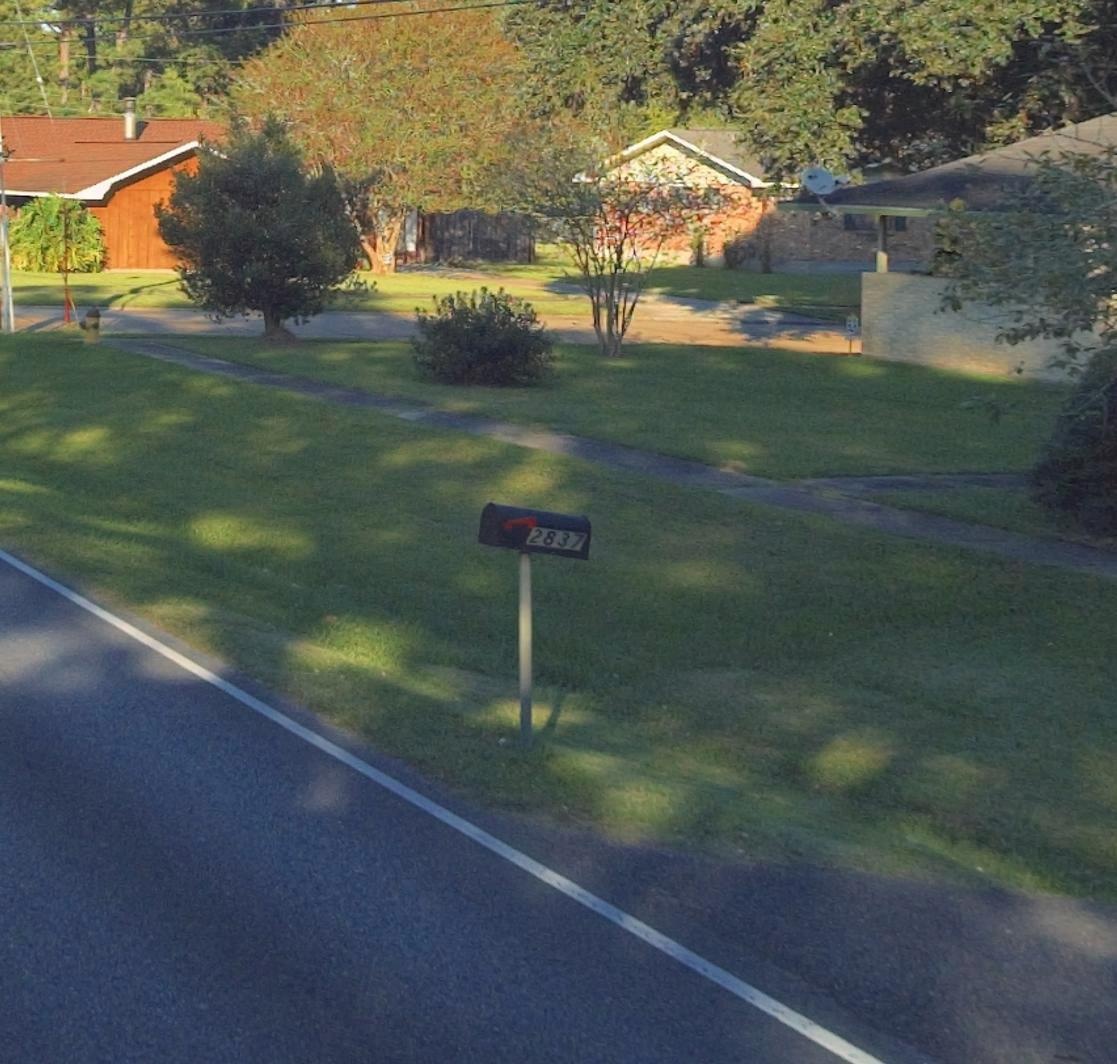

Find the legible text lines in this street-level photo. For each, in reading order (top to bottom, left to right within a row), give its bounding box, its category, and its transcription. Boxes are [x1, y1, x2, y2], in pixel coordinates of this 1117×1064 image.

[527, 527, 587, 551] StreetNumber: 2837